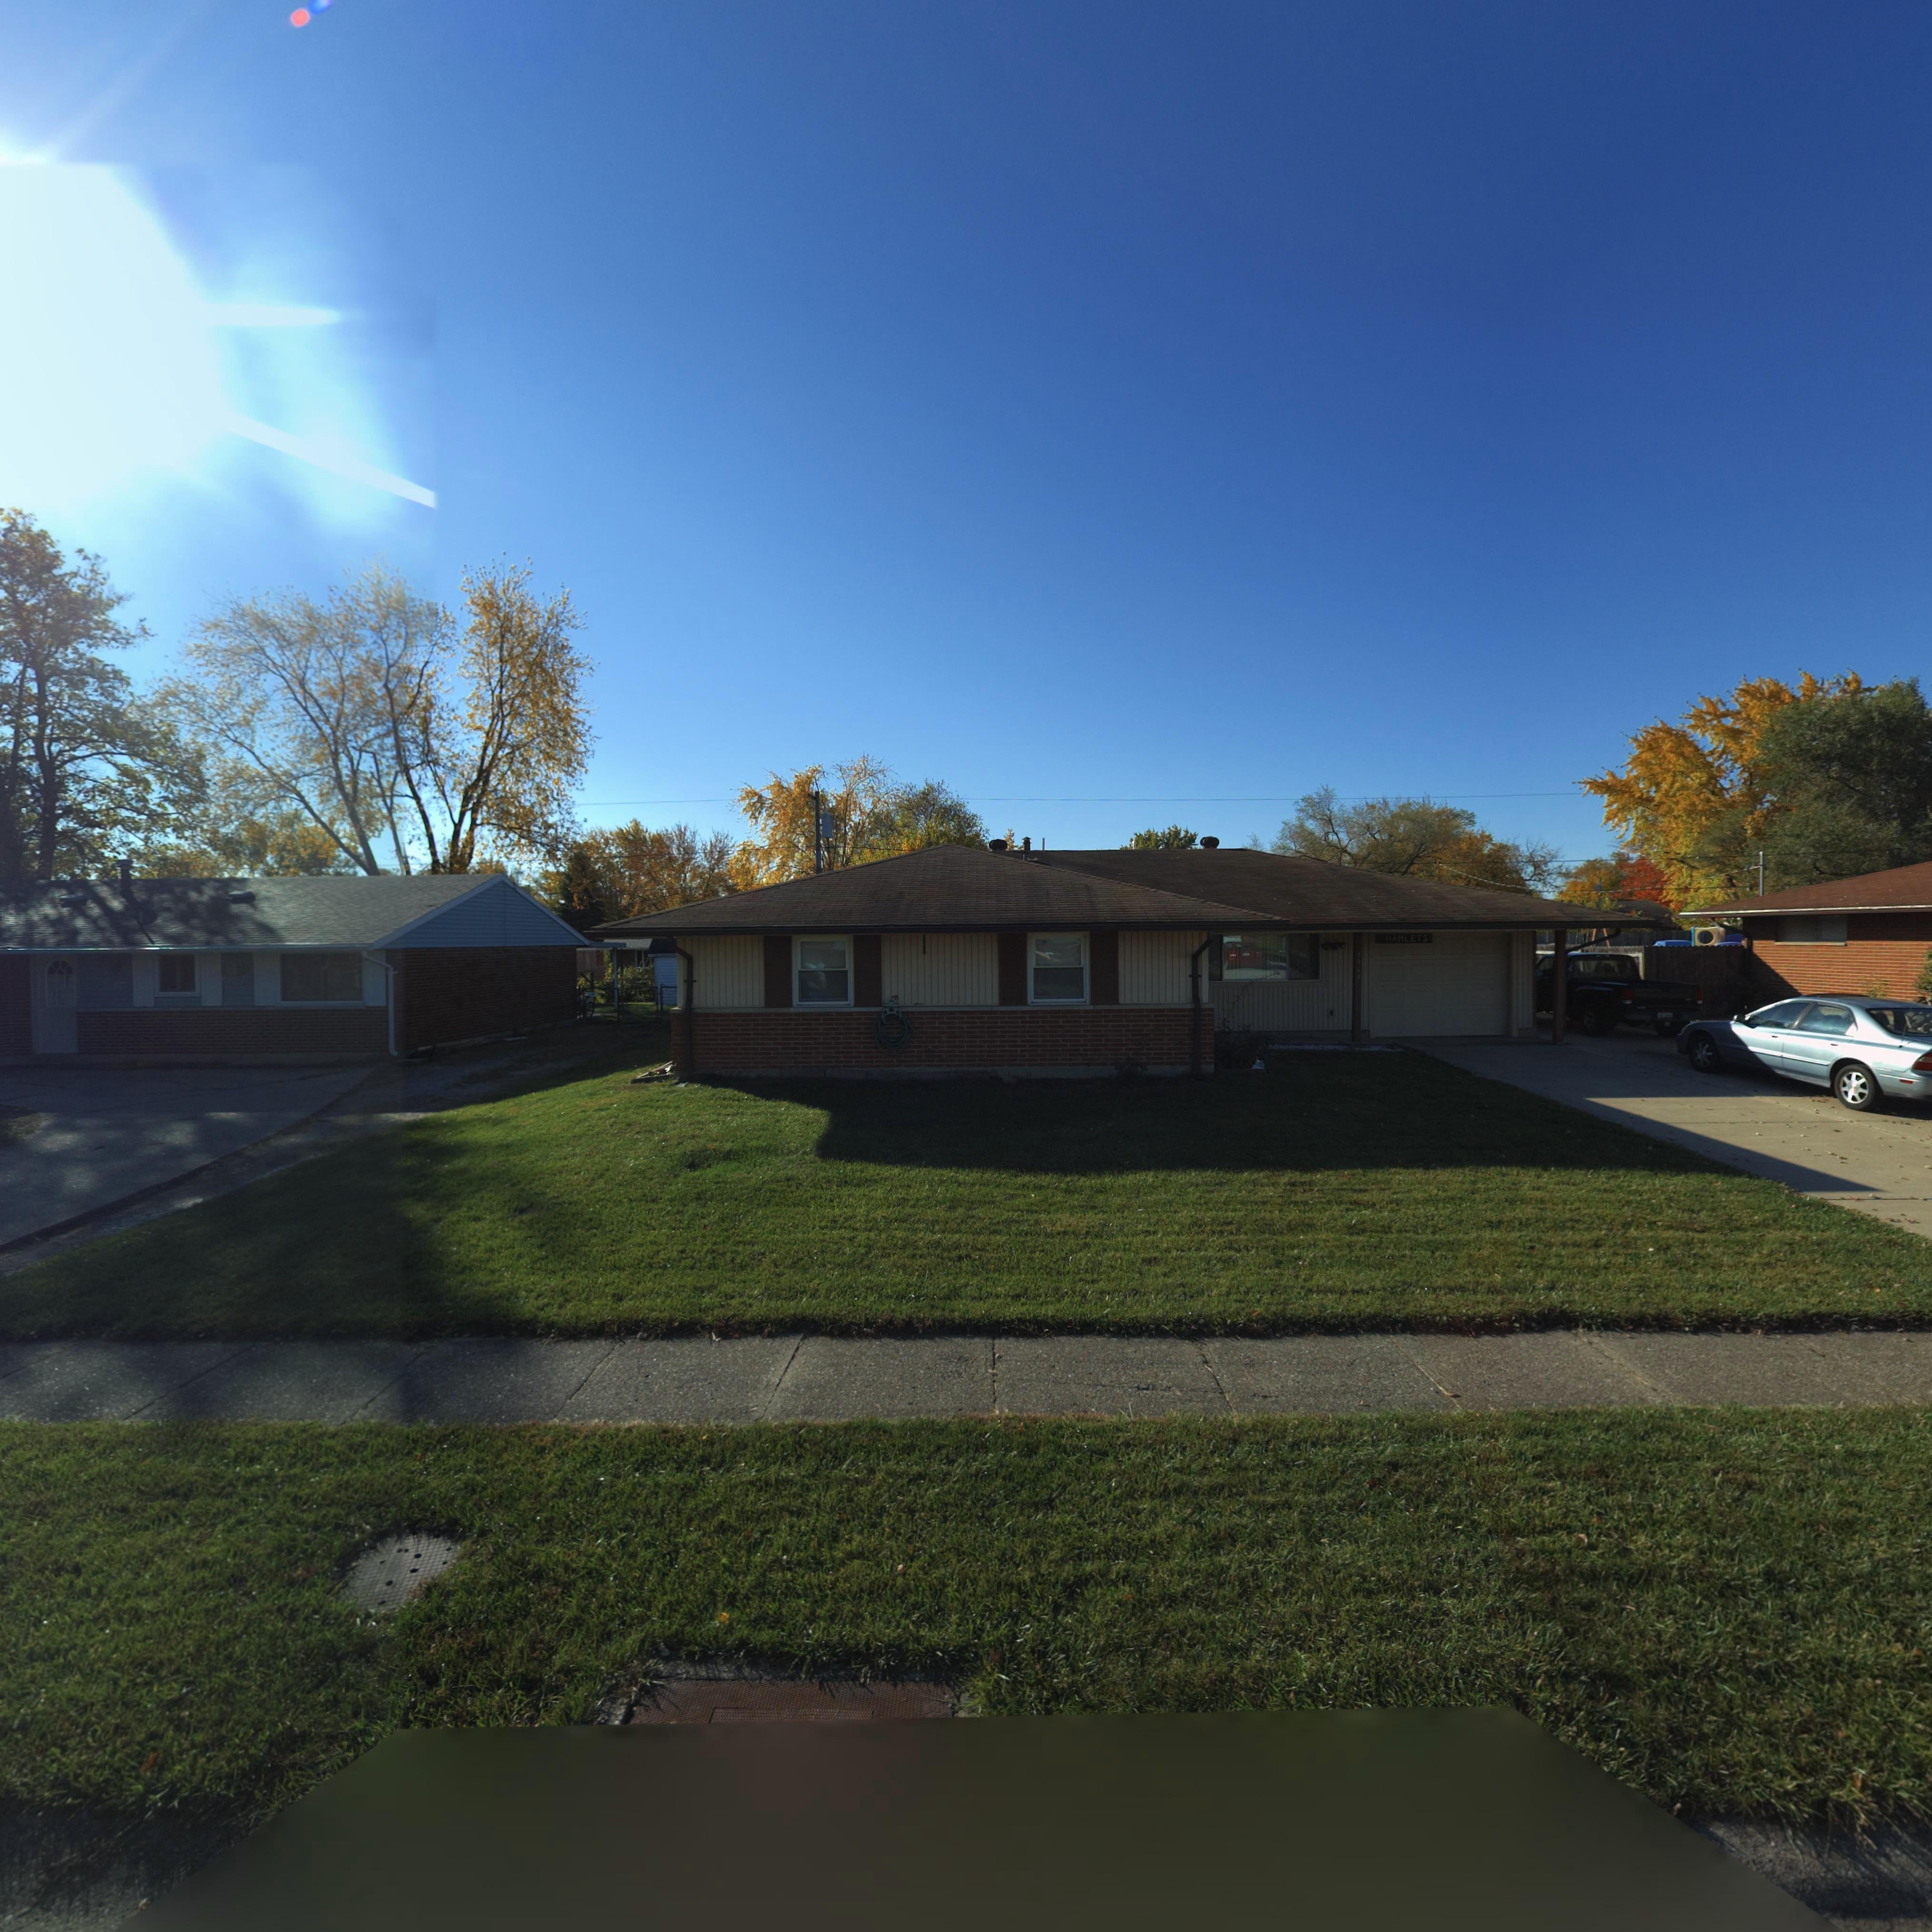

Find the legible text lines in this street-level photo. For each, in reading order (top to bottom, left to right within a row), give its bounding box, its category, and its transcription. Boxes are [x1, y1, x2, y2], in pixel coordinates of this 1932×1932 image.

[1355, 951, 1362, 981] StreetNumber: 7960